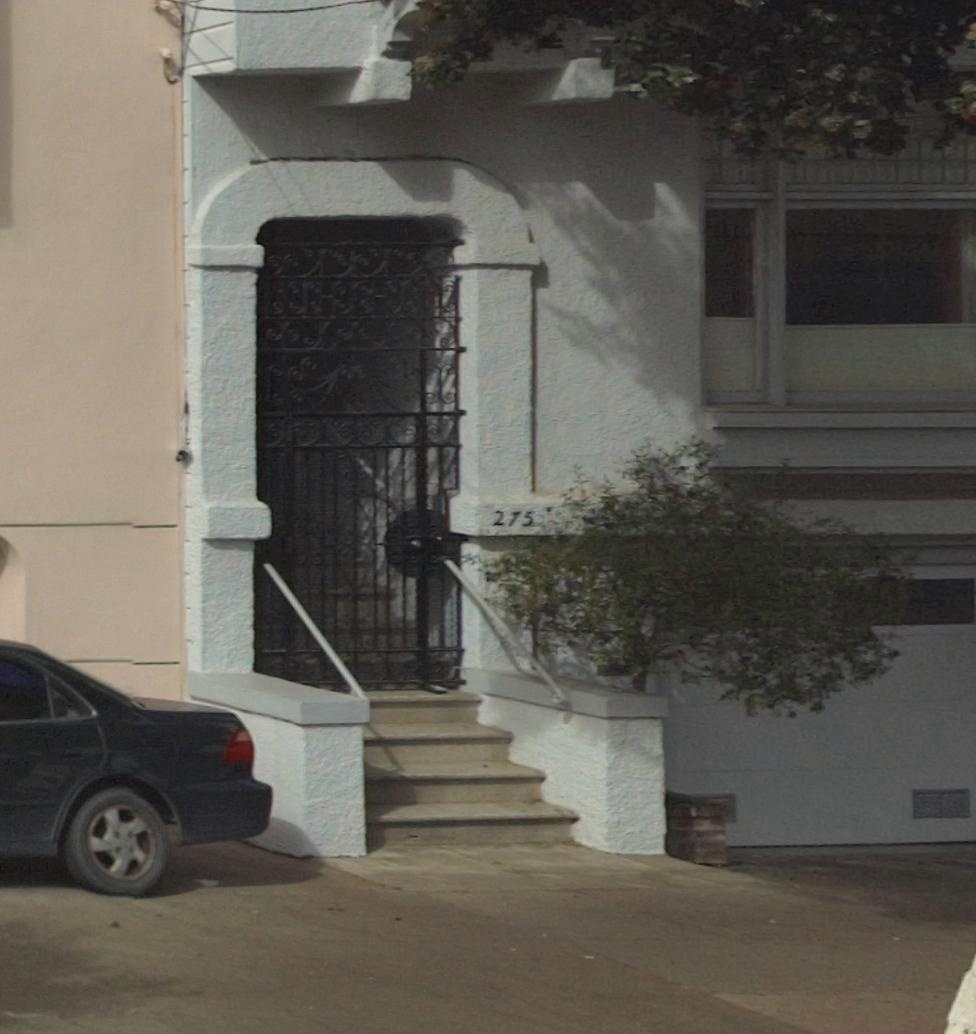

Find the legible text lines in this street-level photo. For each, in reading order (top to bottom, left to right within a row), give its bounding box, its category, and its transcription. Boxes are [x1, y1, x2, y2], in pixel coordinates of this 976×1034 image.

[491, 509, 536, 528] StreetNumber: 275